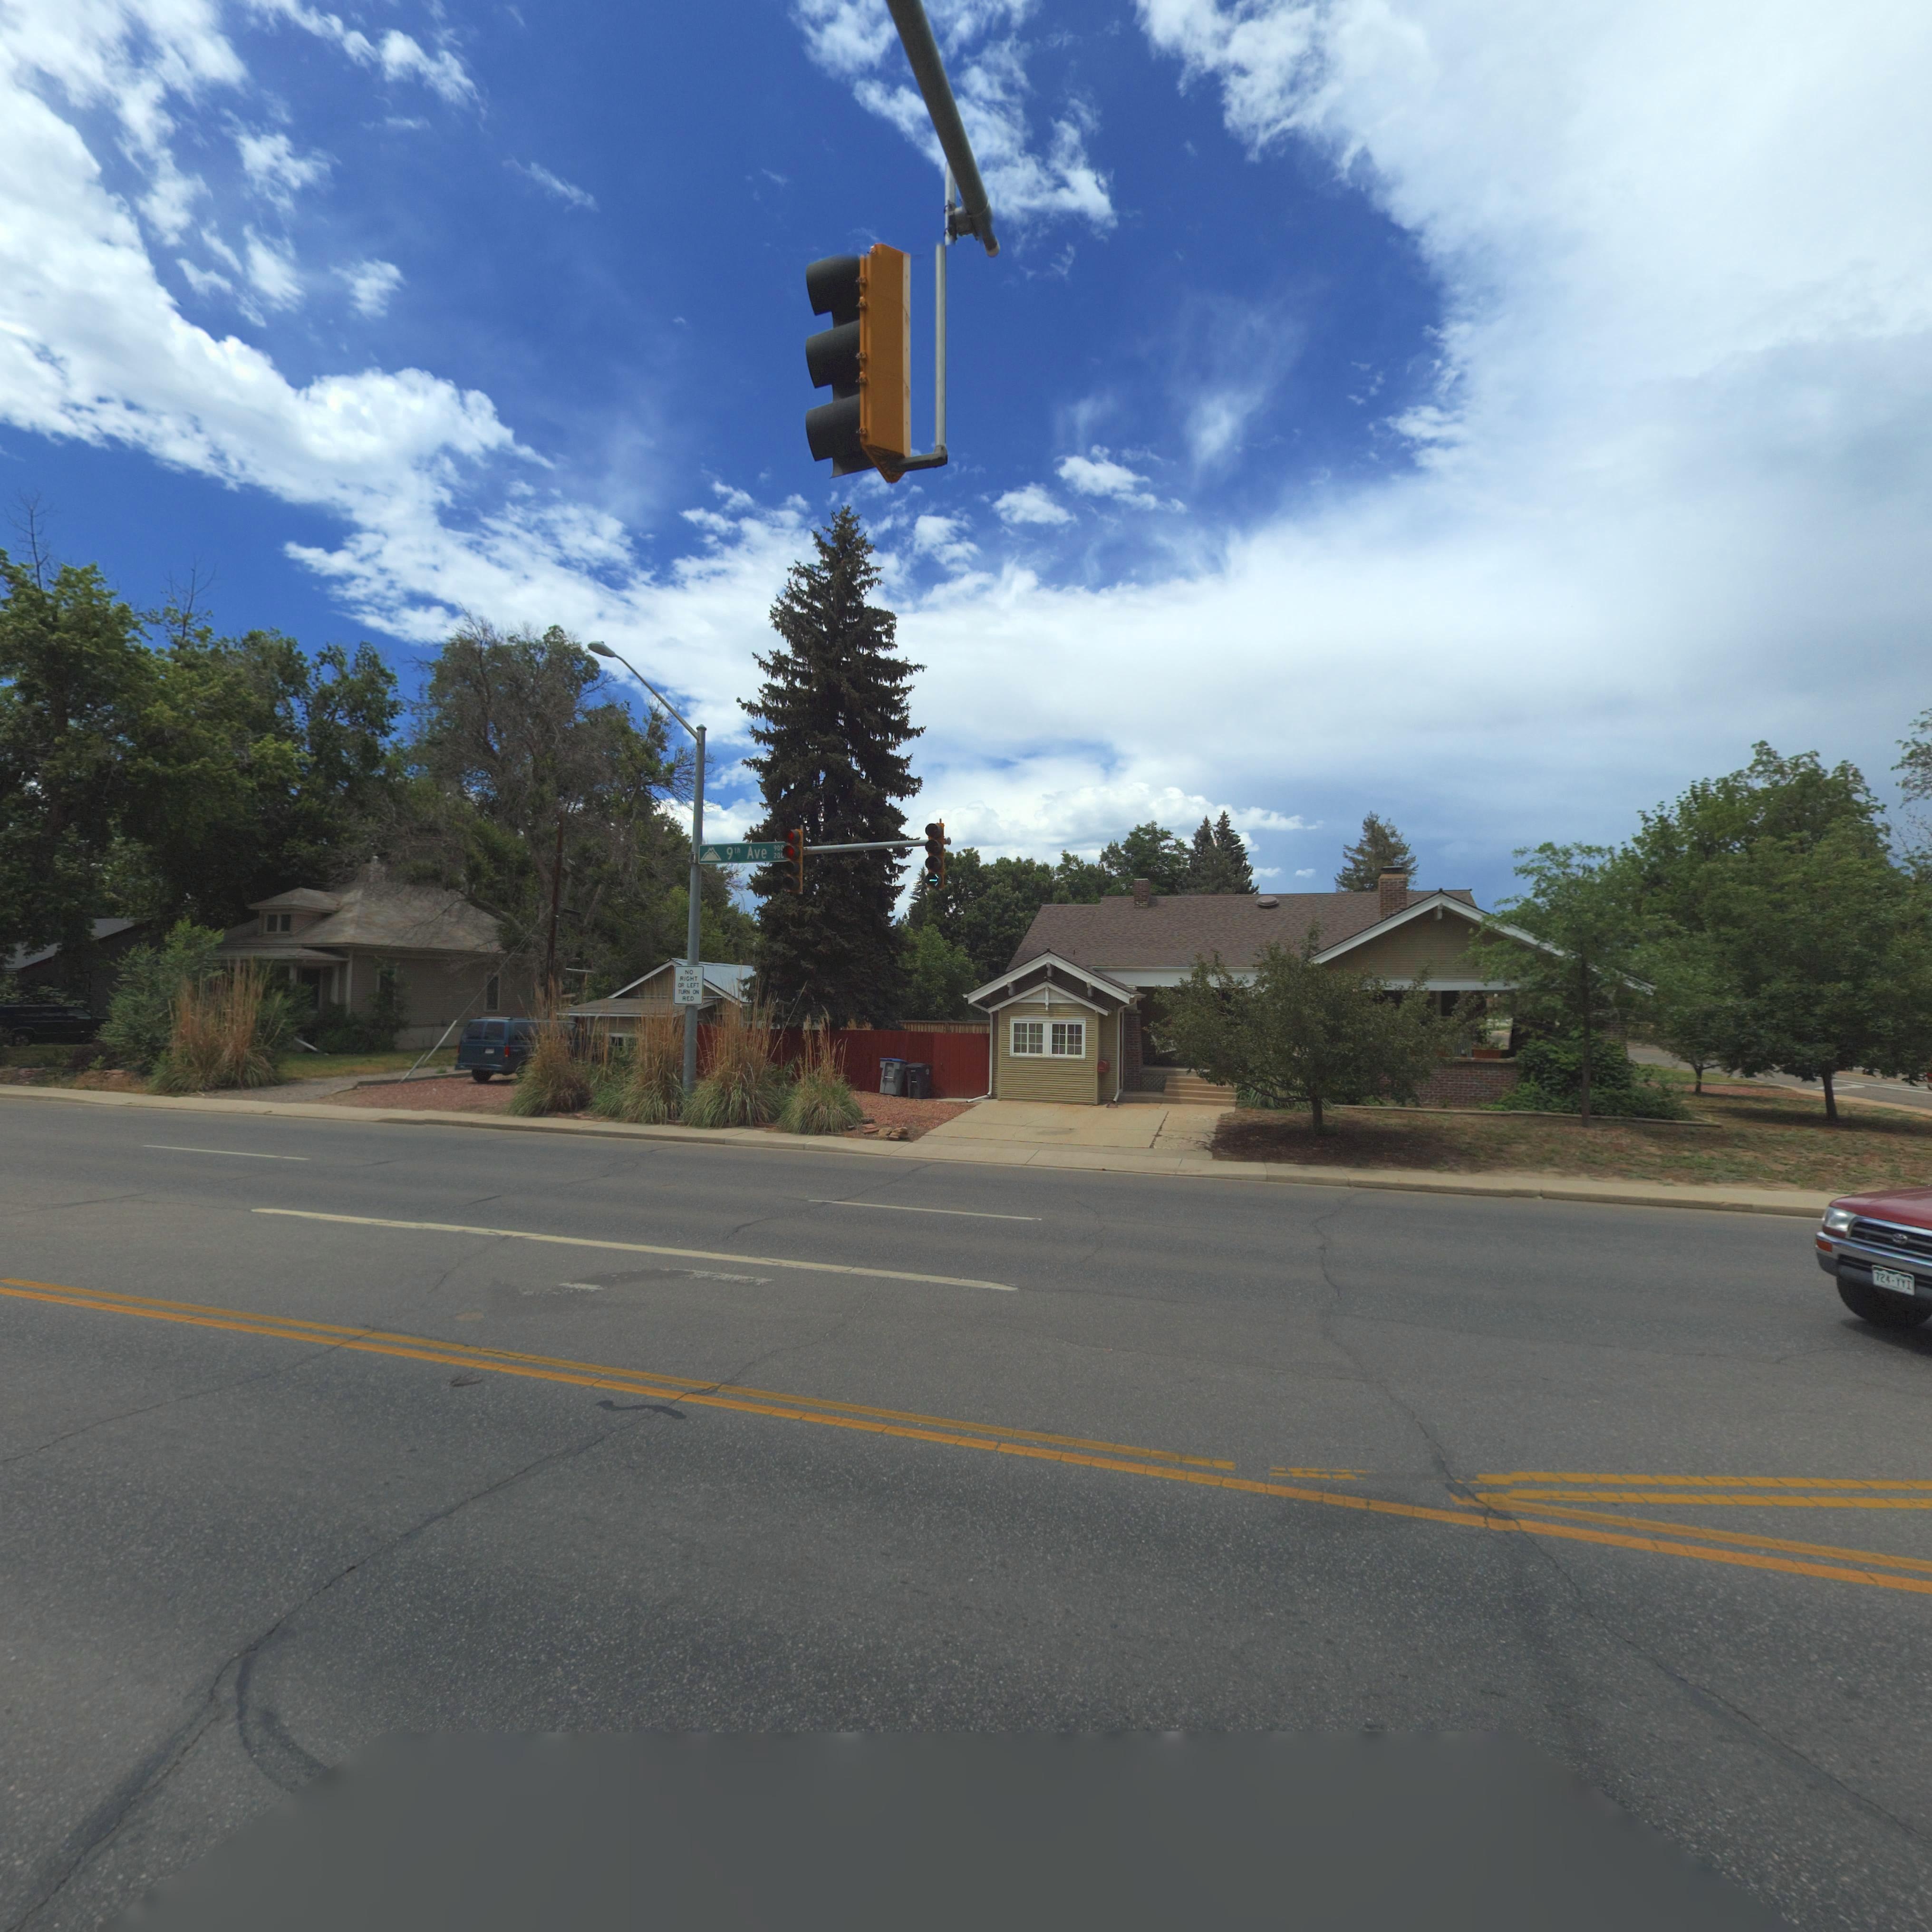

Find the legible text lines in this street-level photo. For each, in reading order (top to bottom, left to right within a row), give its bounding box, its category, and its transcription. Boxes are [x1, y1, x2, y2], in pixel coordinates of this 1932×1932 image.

[773, 845, 784, 851] StreetNumber: 900
[726, 845, 767, 860] StreetName: 9th Ave
[773, 852, 784, 859] StreetNumber: 200